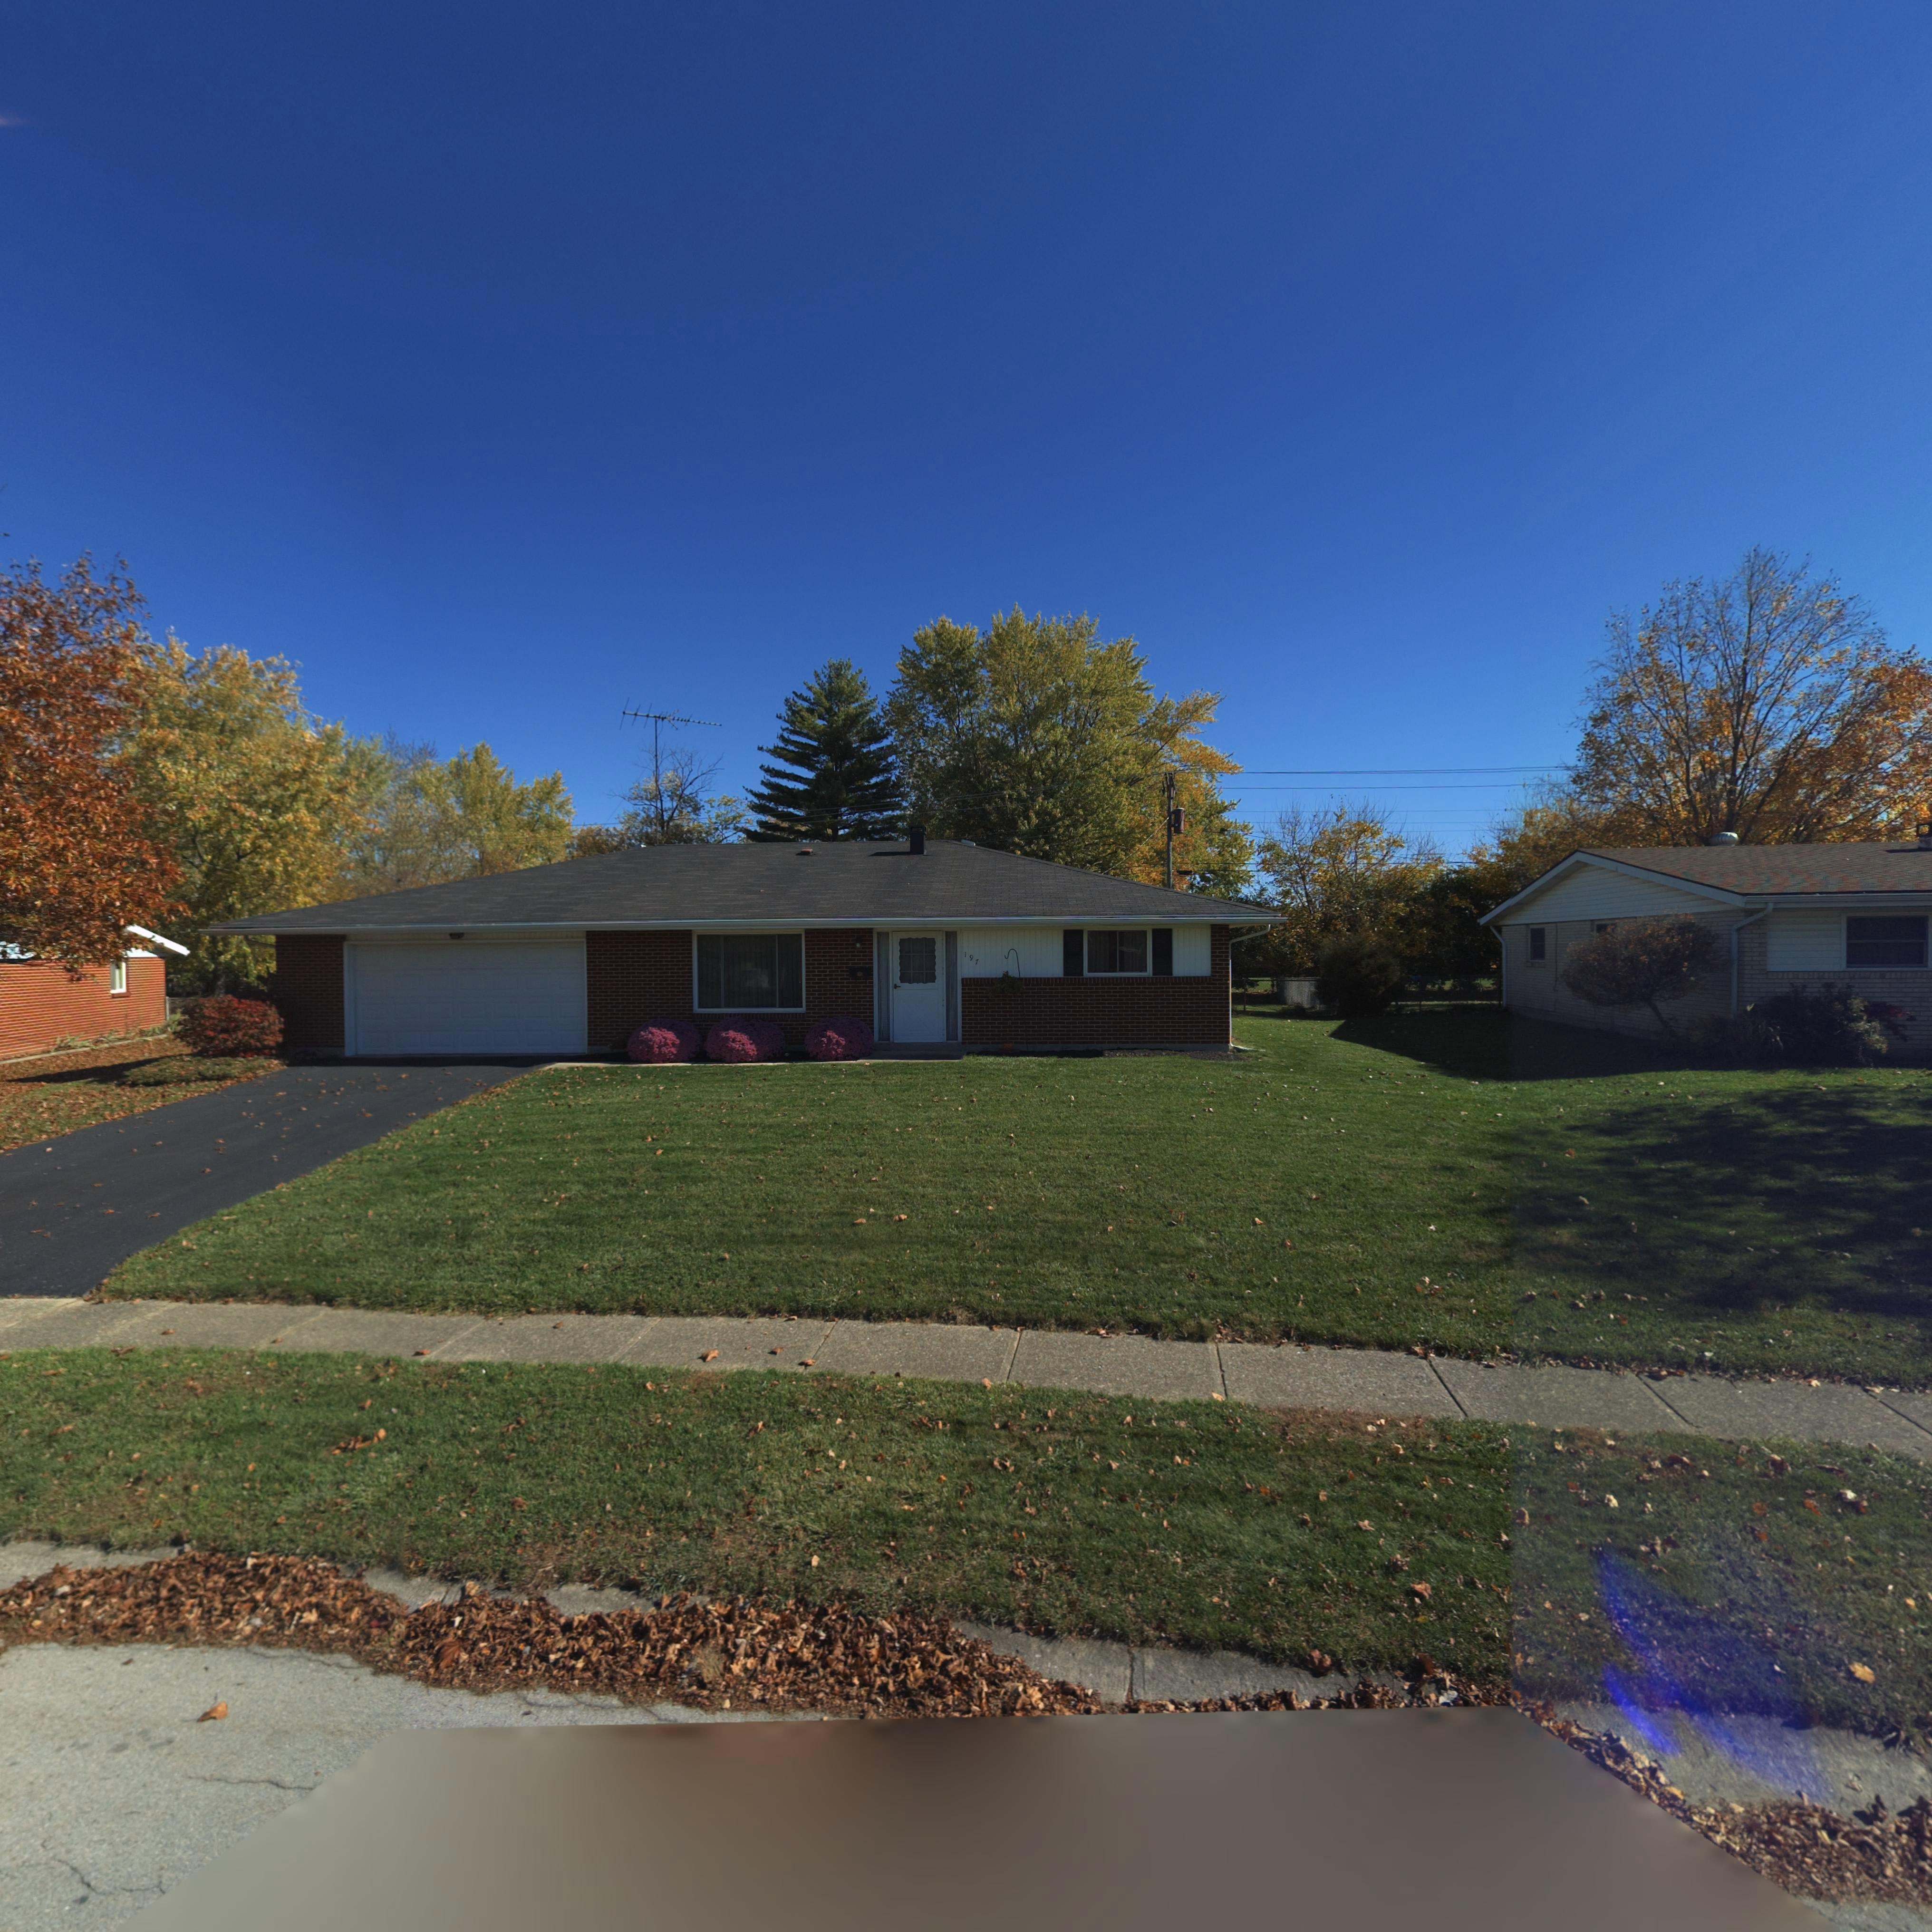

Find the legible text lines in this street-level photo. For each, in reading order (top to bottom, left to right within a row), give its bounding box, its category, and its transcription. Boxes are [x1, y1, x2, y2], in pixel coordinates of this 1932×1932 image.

[964, 951, 980, 966] StreetNumber: 197